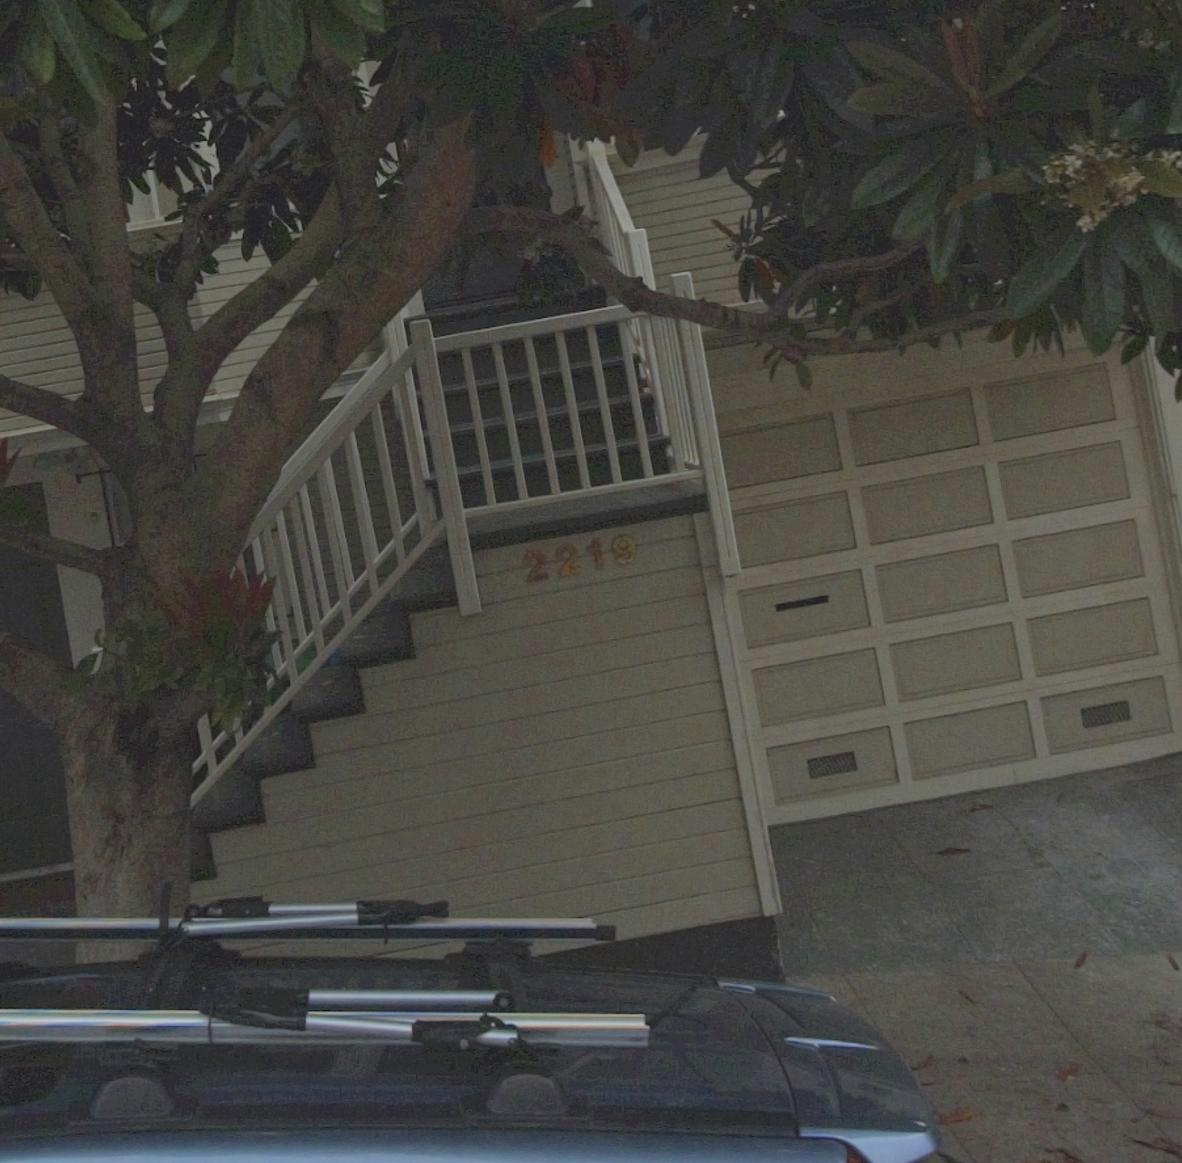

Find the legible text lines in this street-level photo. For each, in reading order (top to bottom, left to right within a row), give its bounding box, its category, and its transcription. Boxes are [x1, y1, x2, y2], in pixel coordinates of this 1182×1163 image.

[519, 529, 639, 585] StreetNumber: 2219